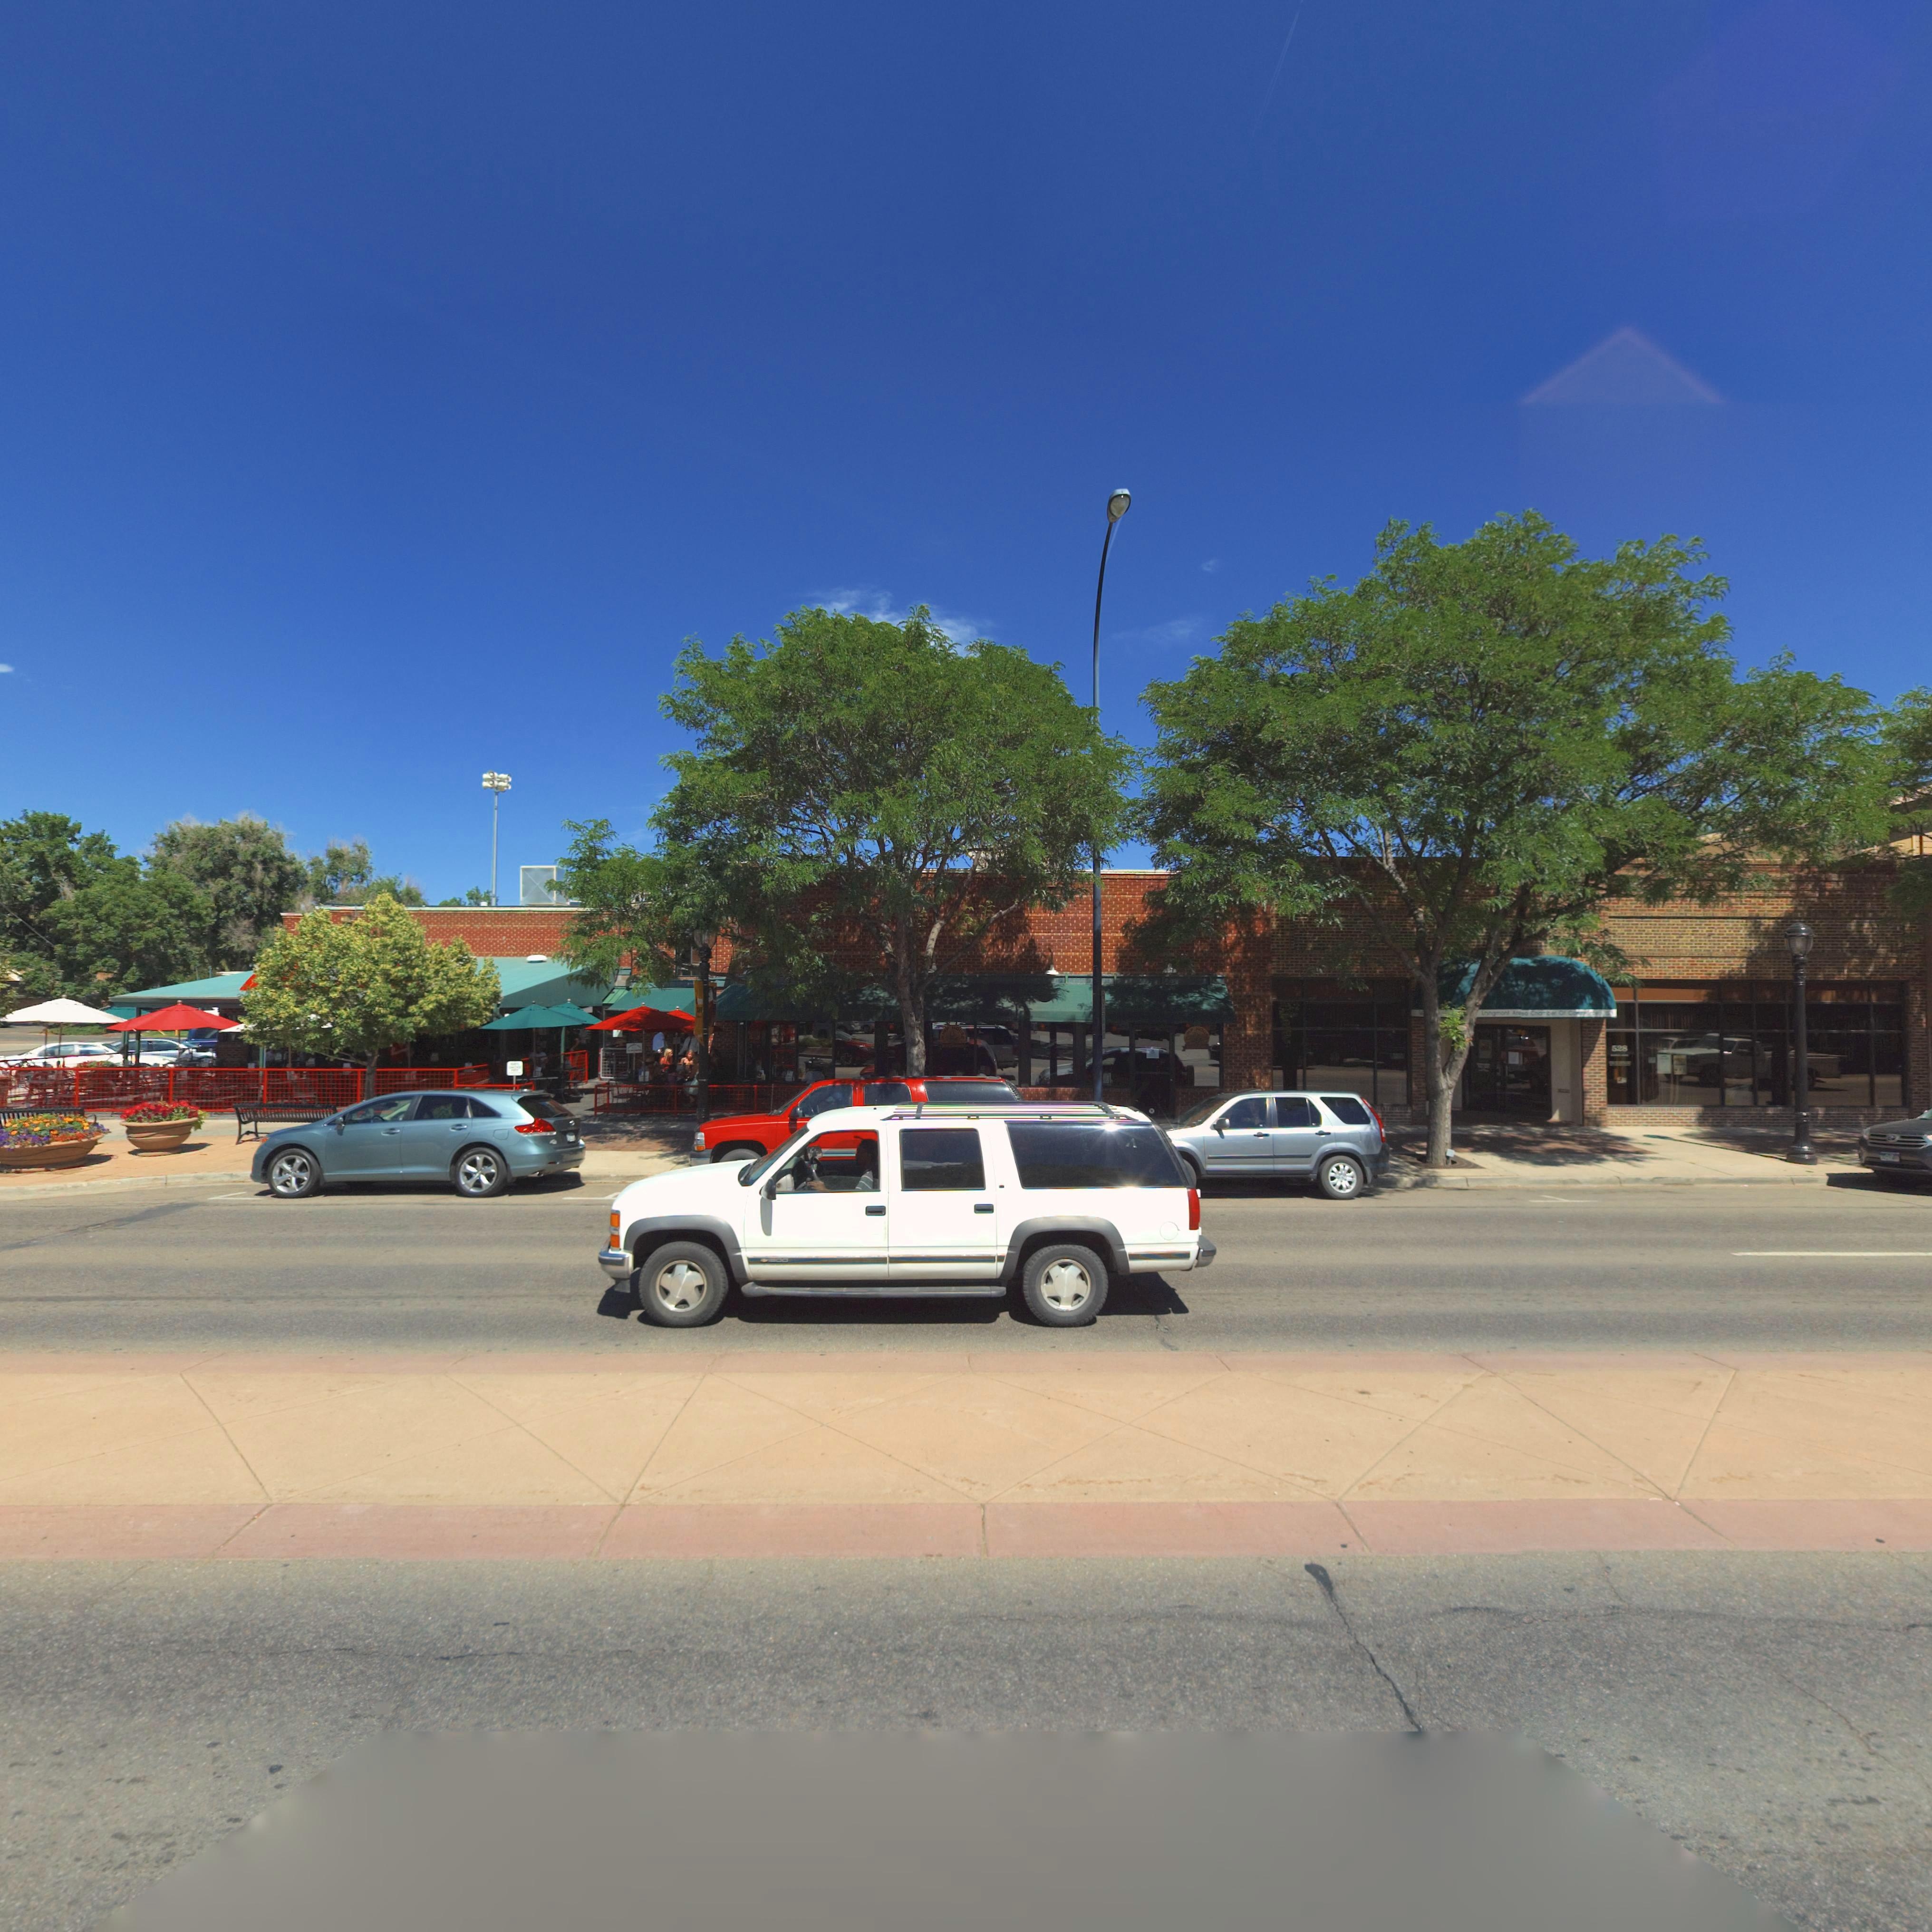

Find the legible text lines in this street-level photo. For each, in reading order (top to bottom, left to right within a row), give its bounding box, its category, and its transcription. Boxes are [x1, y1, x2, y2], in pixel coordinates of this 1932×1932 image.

[941, 1025, 965, 1040] BusinessName: *U*P HOUS*
[1185, 1026, 1209, 1041] BusinessName: ***P *OU**
[1612, 1044, 1628, 1052] StreetNumber: 528